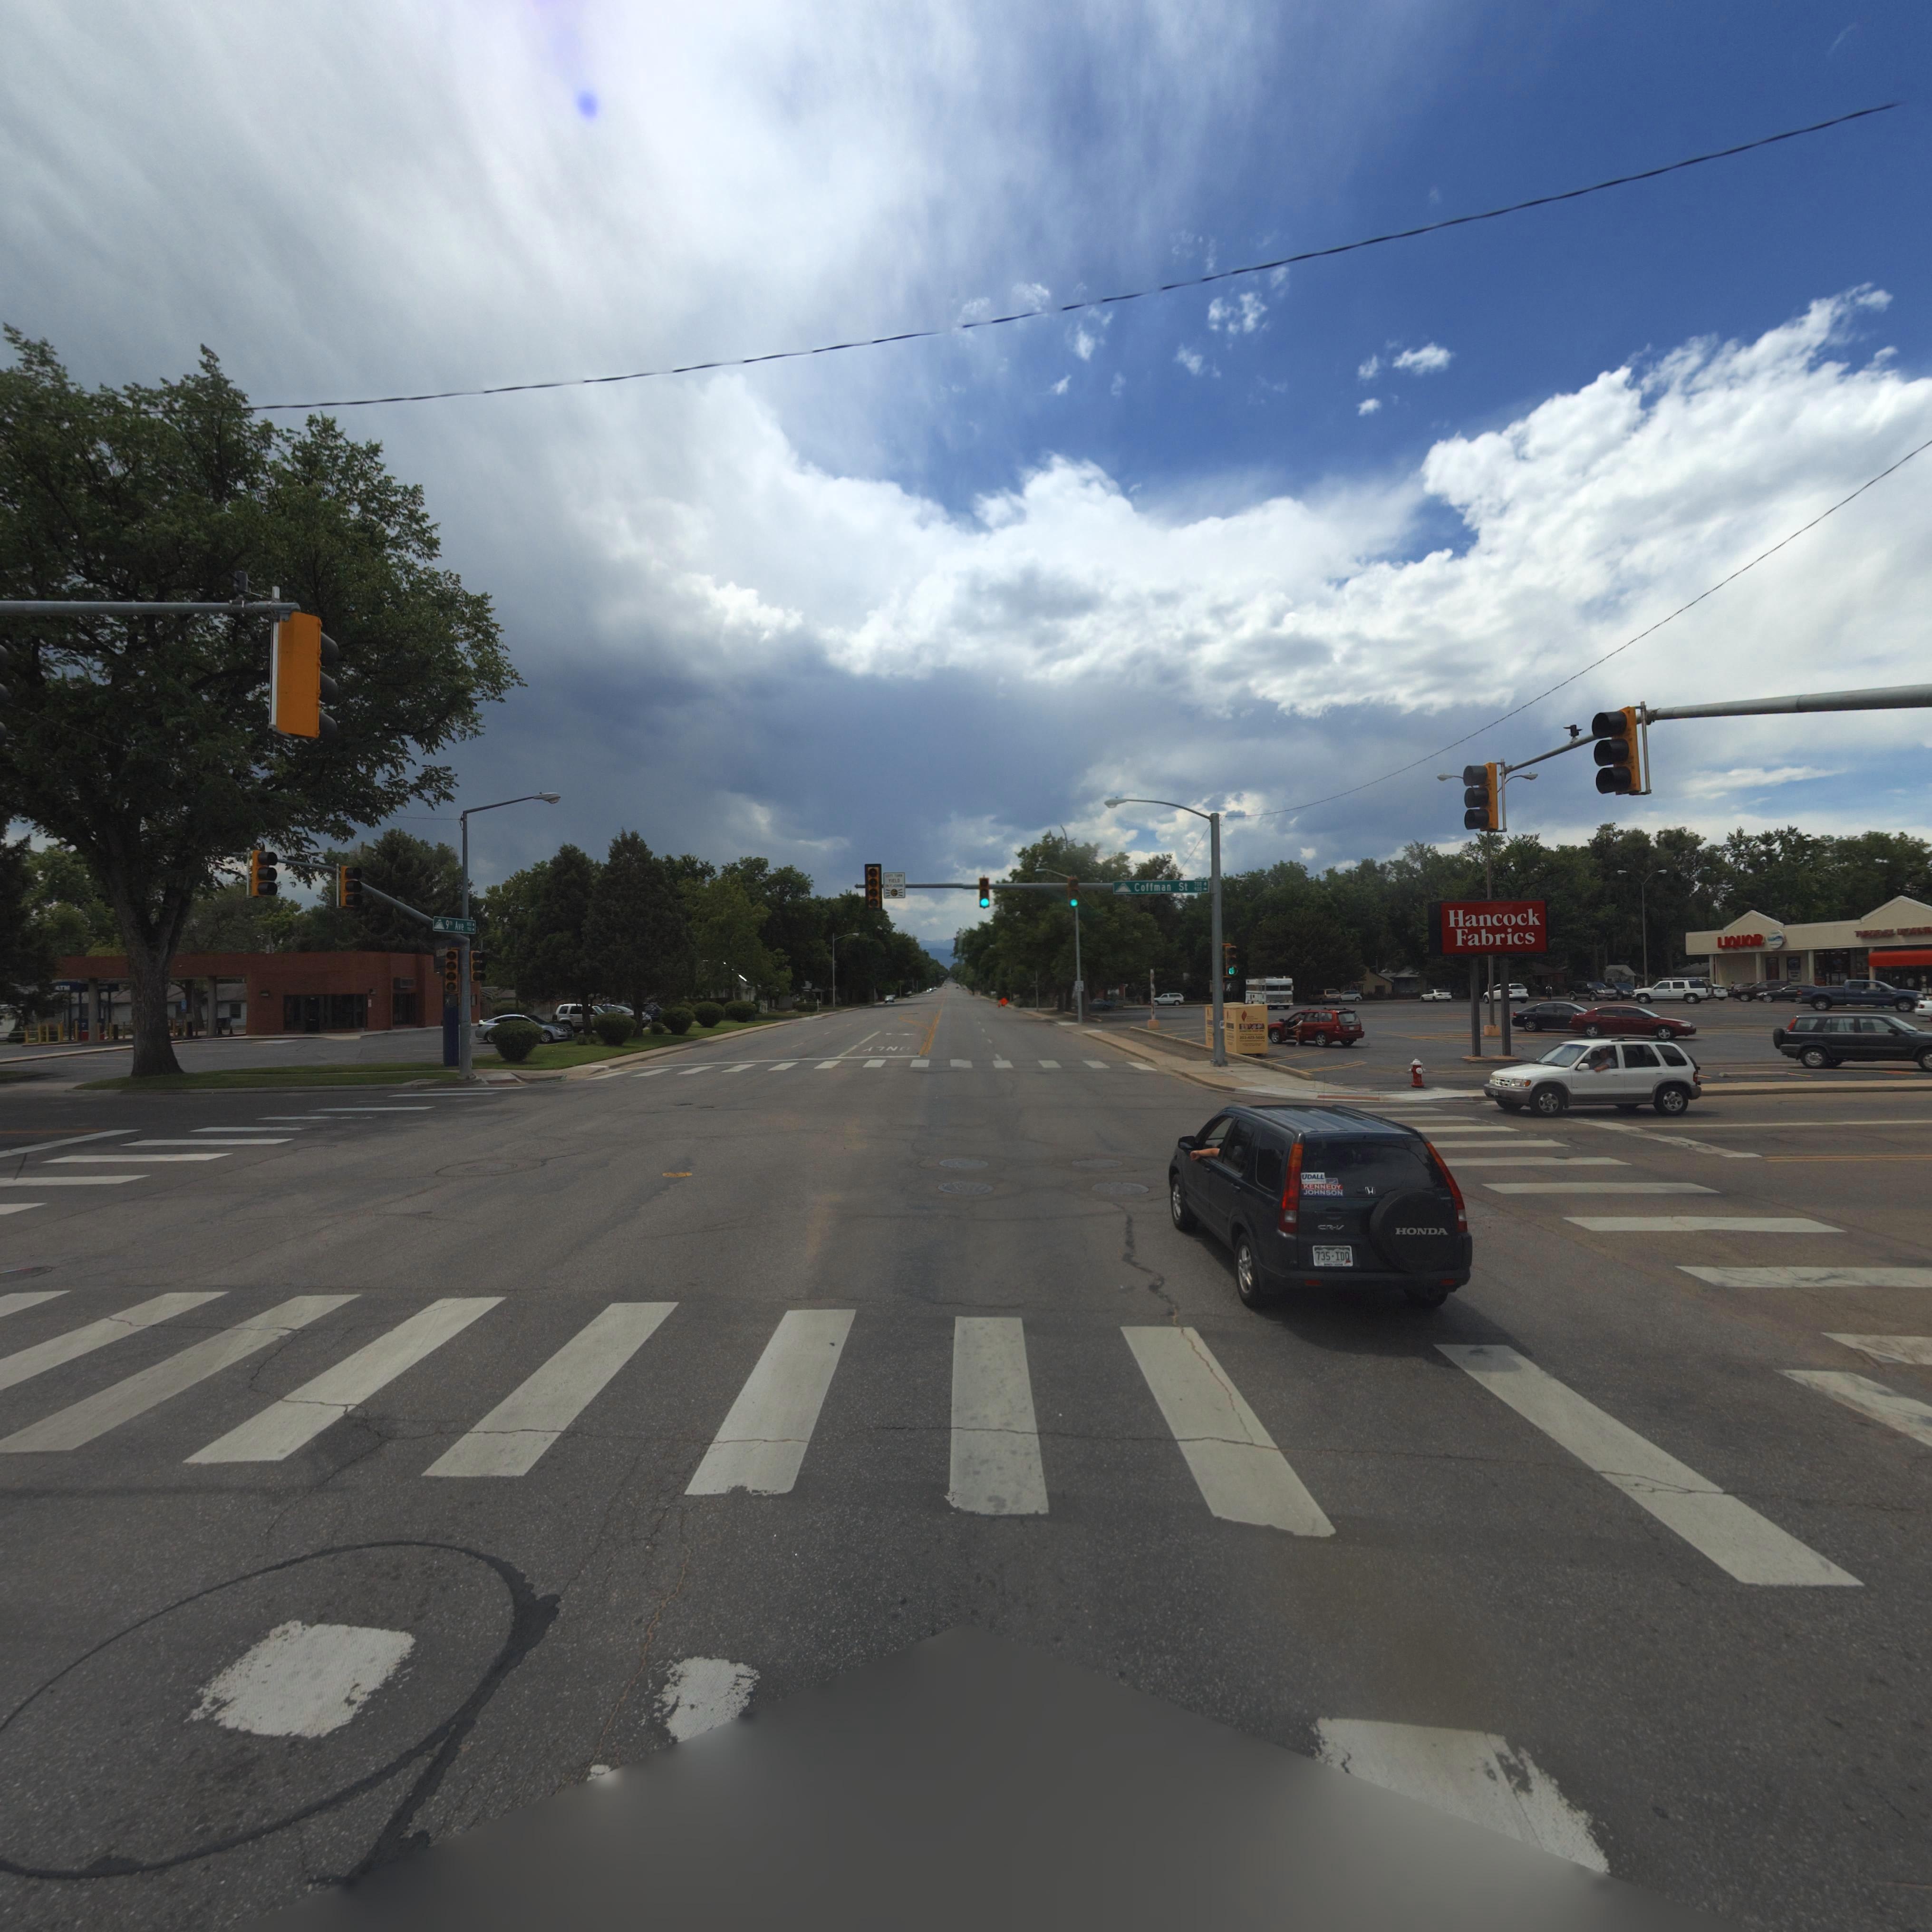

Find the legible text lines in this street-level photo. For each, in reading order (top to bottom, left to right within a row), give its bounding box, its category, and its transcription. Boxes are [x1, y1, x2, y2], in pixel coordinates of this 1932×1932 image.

[1134, 882, 1188, 891] StreetName: Coffman
[1194, 881, 1202, 886] StreetNumberRange: 700
[1194, 887, 1207, 891] StreetNumberRange: 900->
[1447, 907, 1541, 927] BusinessName: Hancock
[445, 919, 464, 930] StreetName: 9th Ave
[467, 927, 474, 931] StreetNumberRange: 700->
[1455, 927, 1536, 946] BusinessName: Fabrics
[435, 947, 445, 957] BusinessName: usban